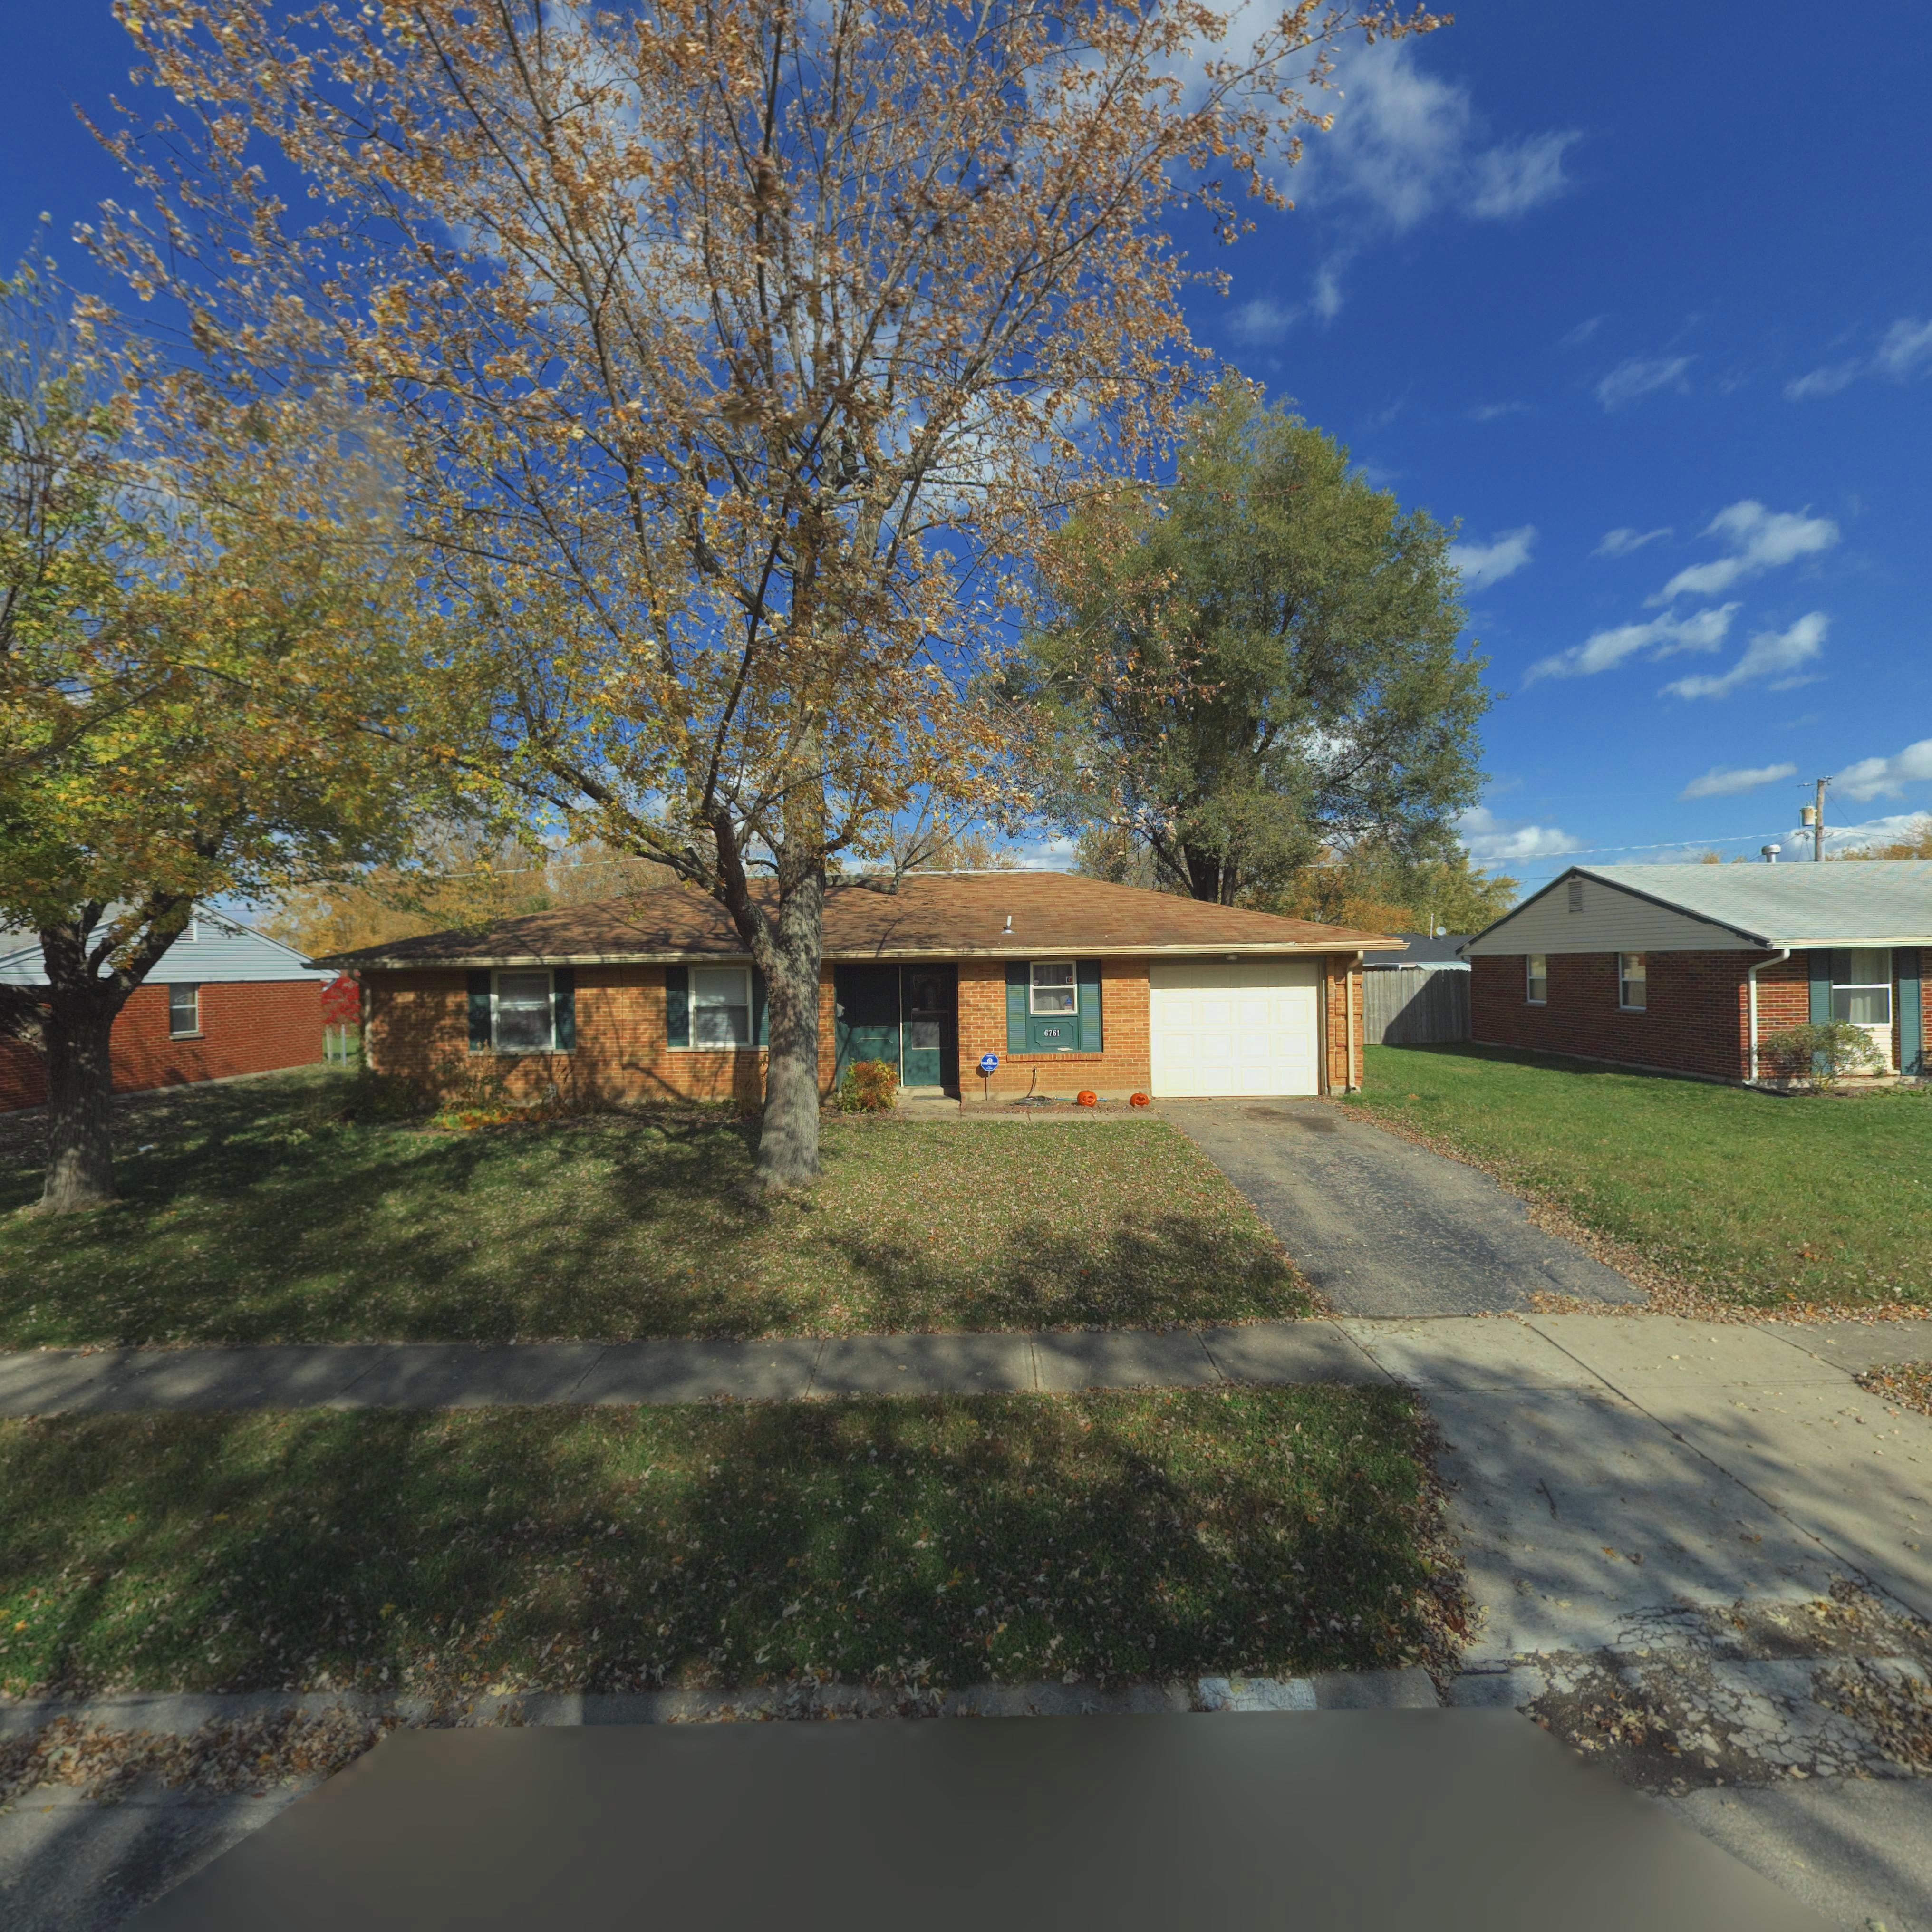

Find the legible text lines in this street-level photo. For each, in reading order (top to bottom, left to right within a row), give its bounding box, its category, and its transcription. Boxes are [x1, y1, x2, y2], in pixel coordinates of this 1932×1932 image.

[1044, 1029, 1060, 1037] StreetNumber: 6761